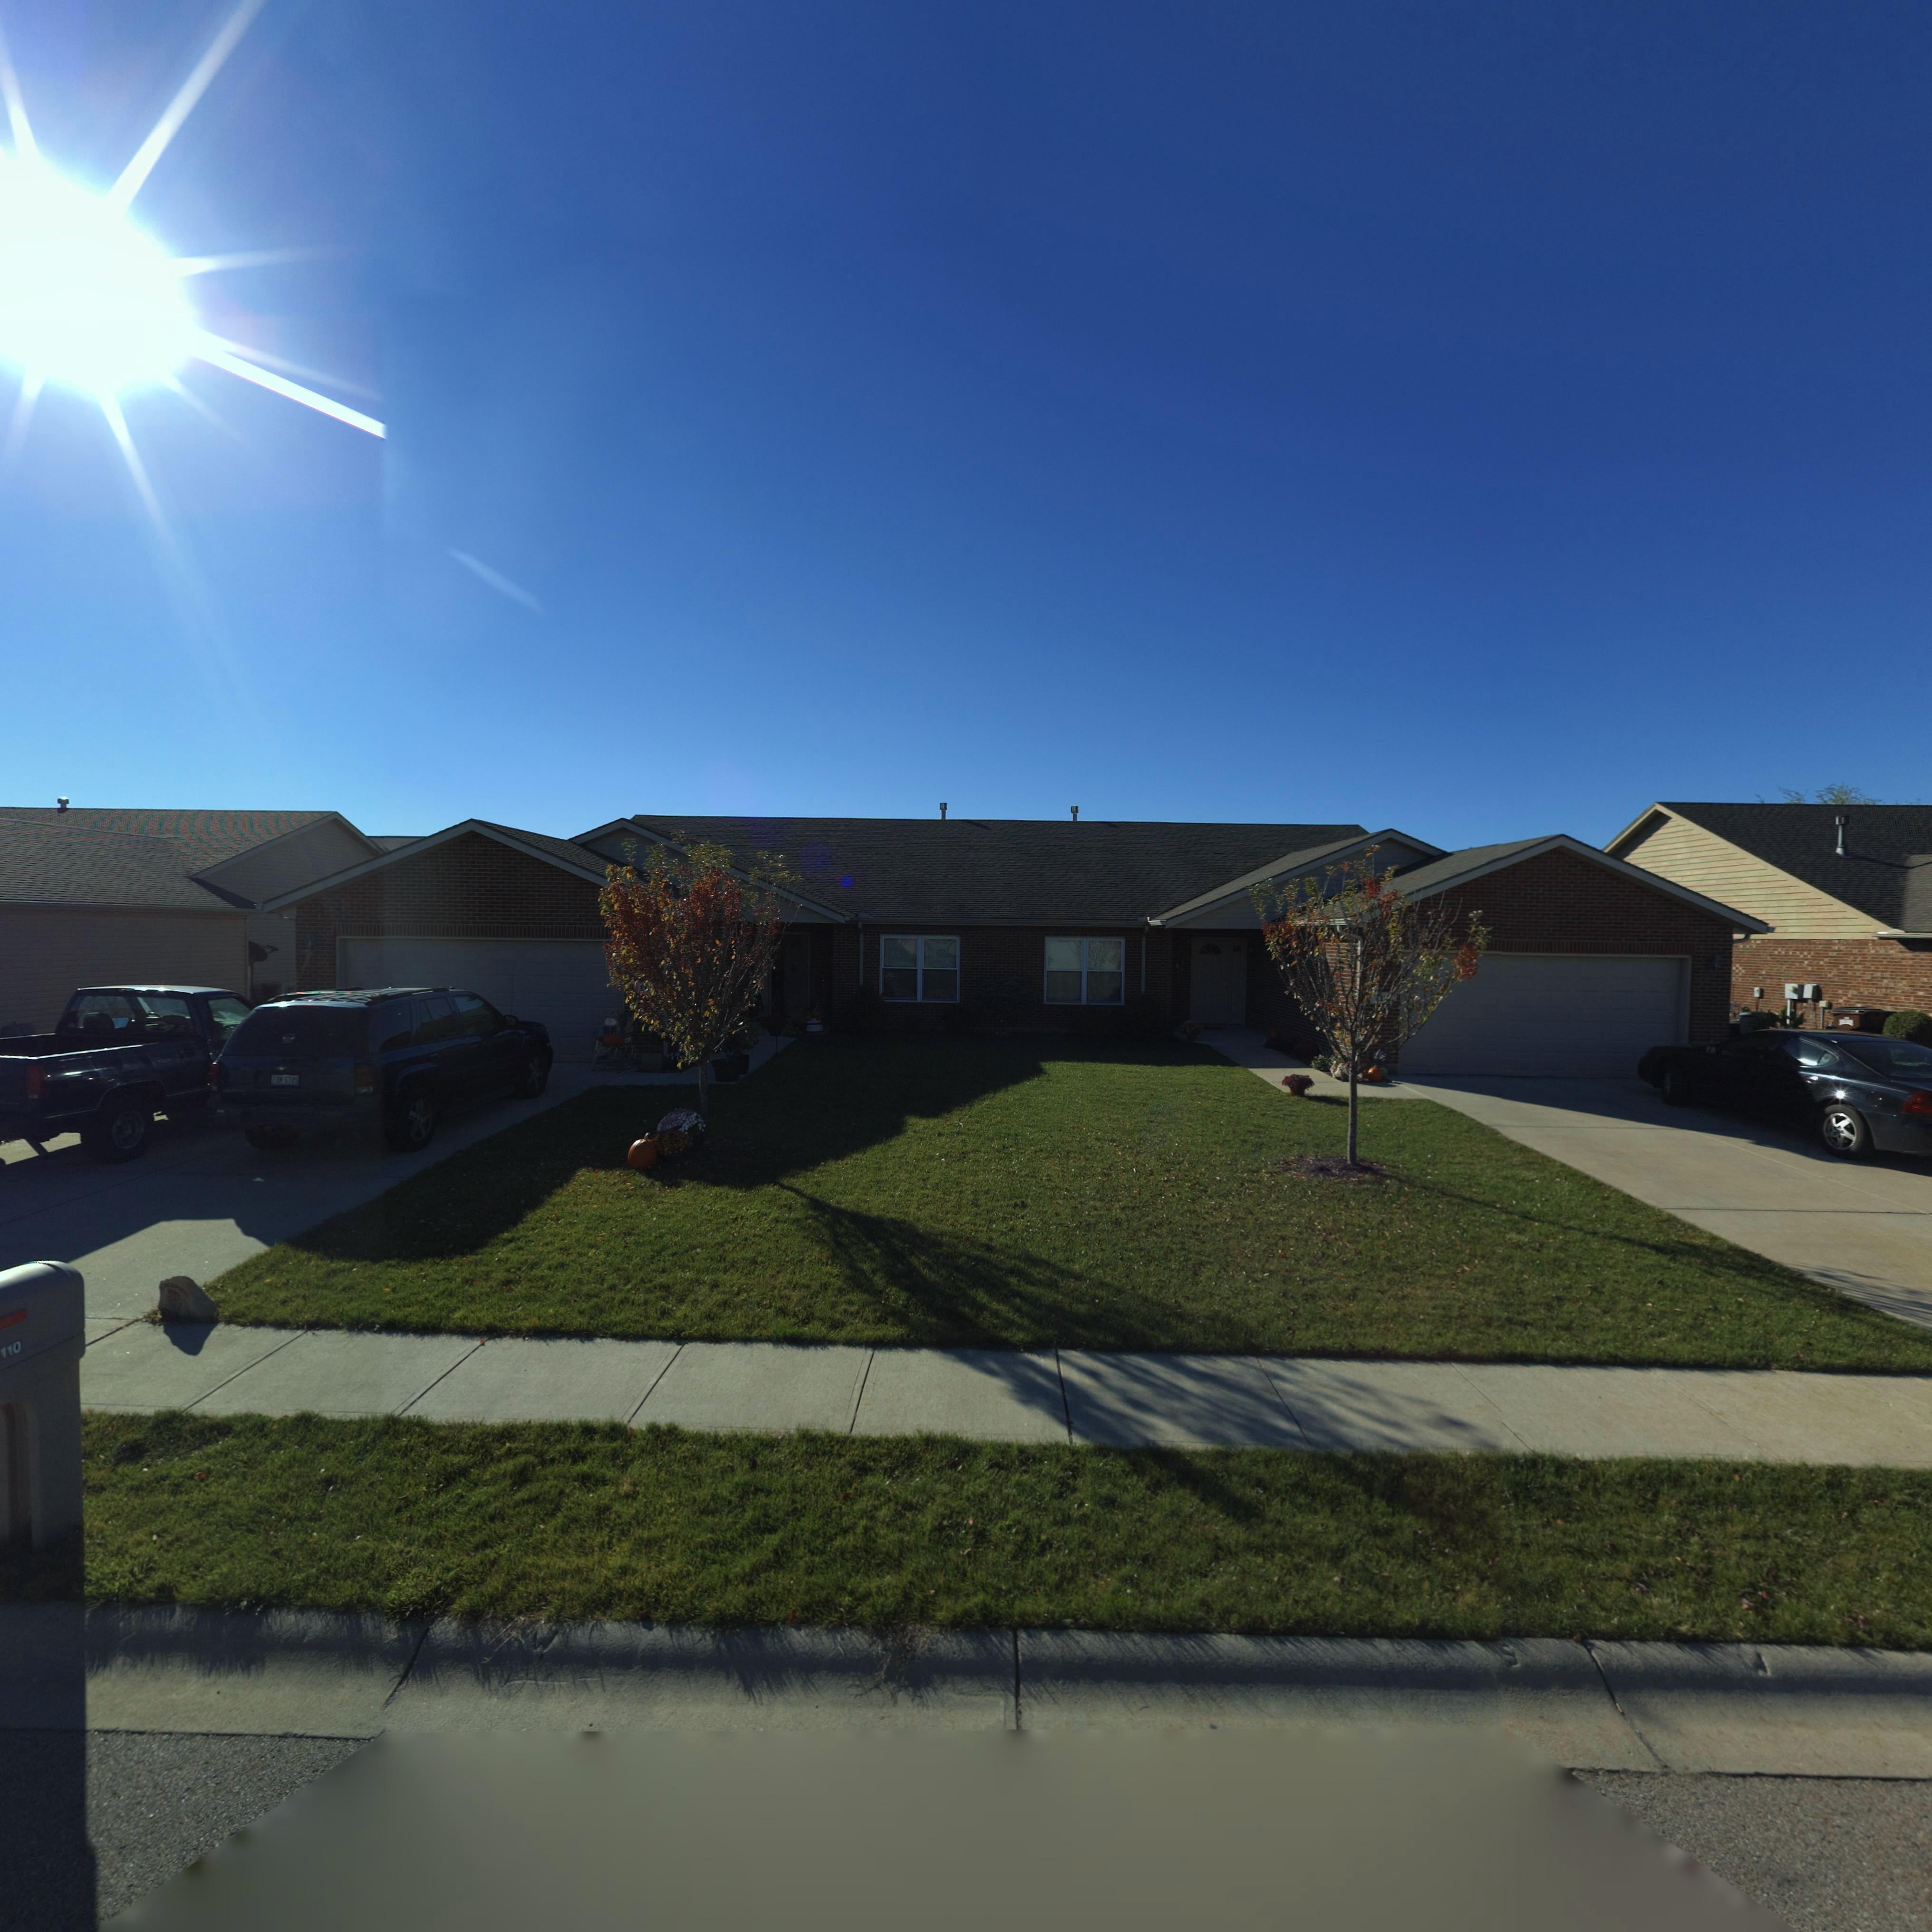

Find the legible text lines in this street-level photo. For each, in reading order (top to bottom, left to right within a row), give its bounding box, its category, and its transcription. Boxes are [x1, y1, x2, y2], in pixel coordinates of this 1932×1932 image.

[0, 1339, 23, 1361] StreetNumber: 110